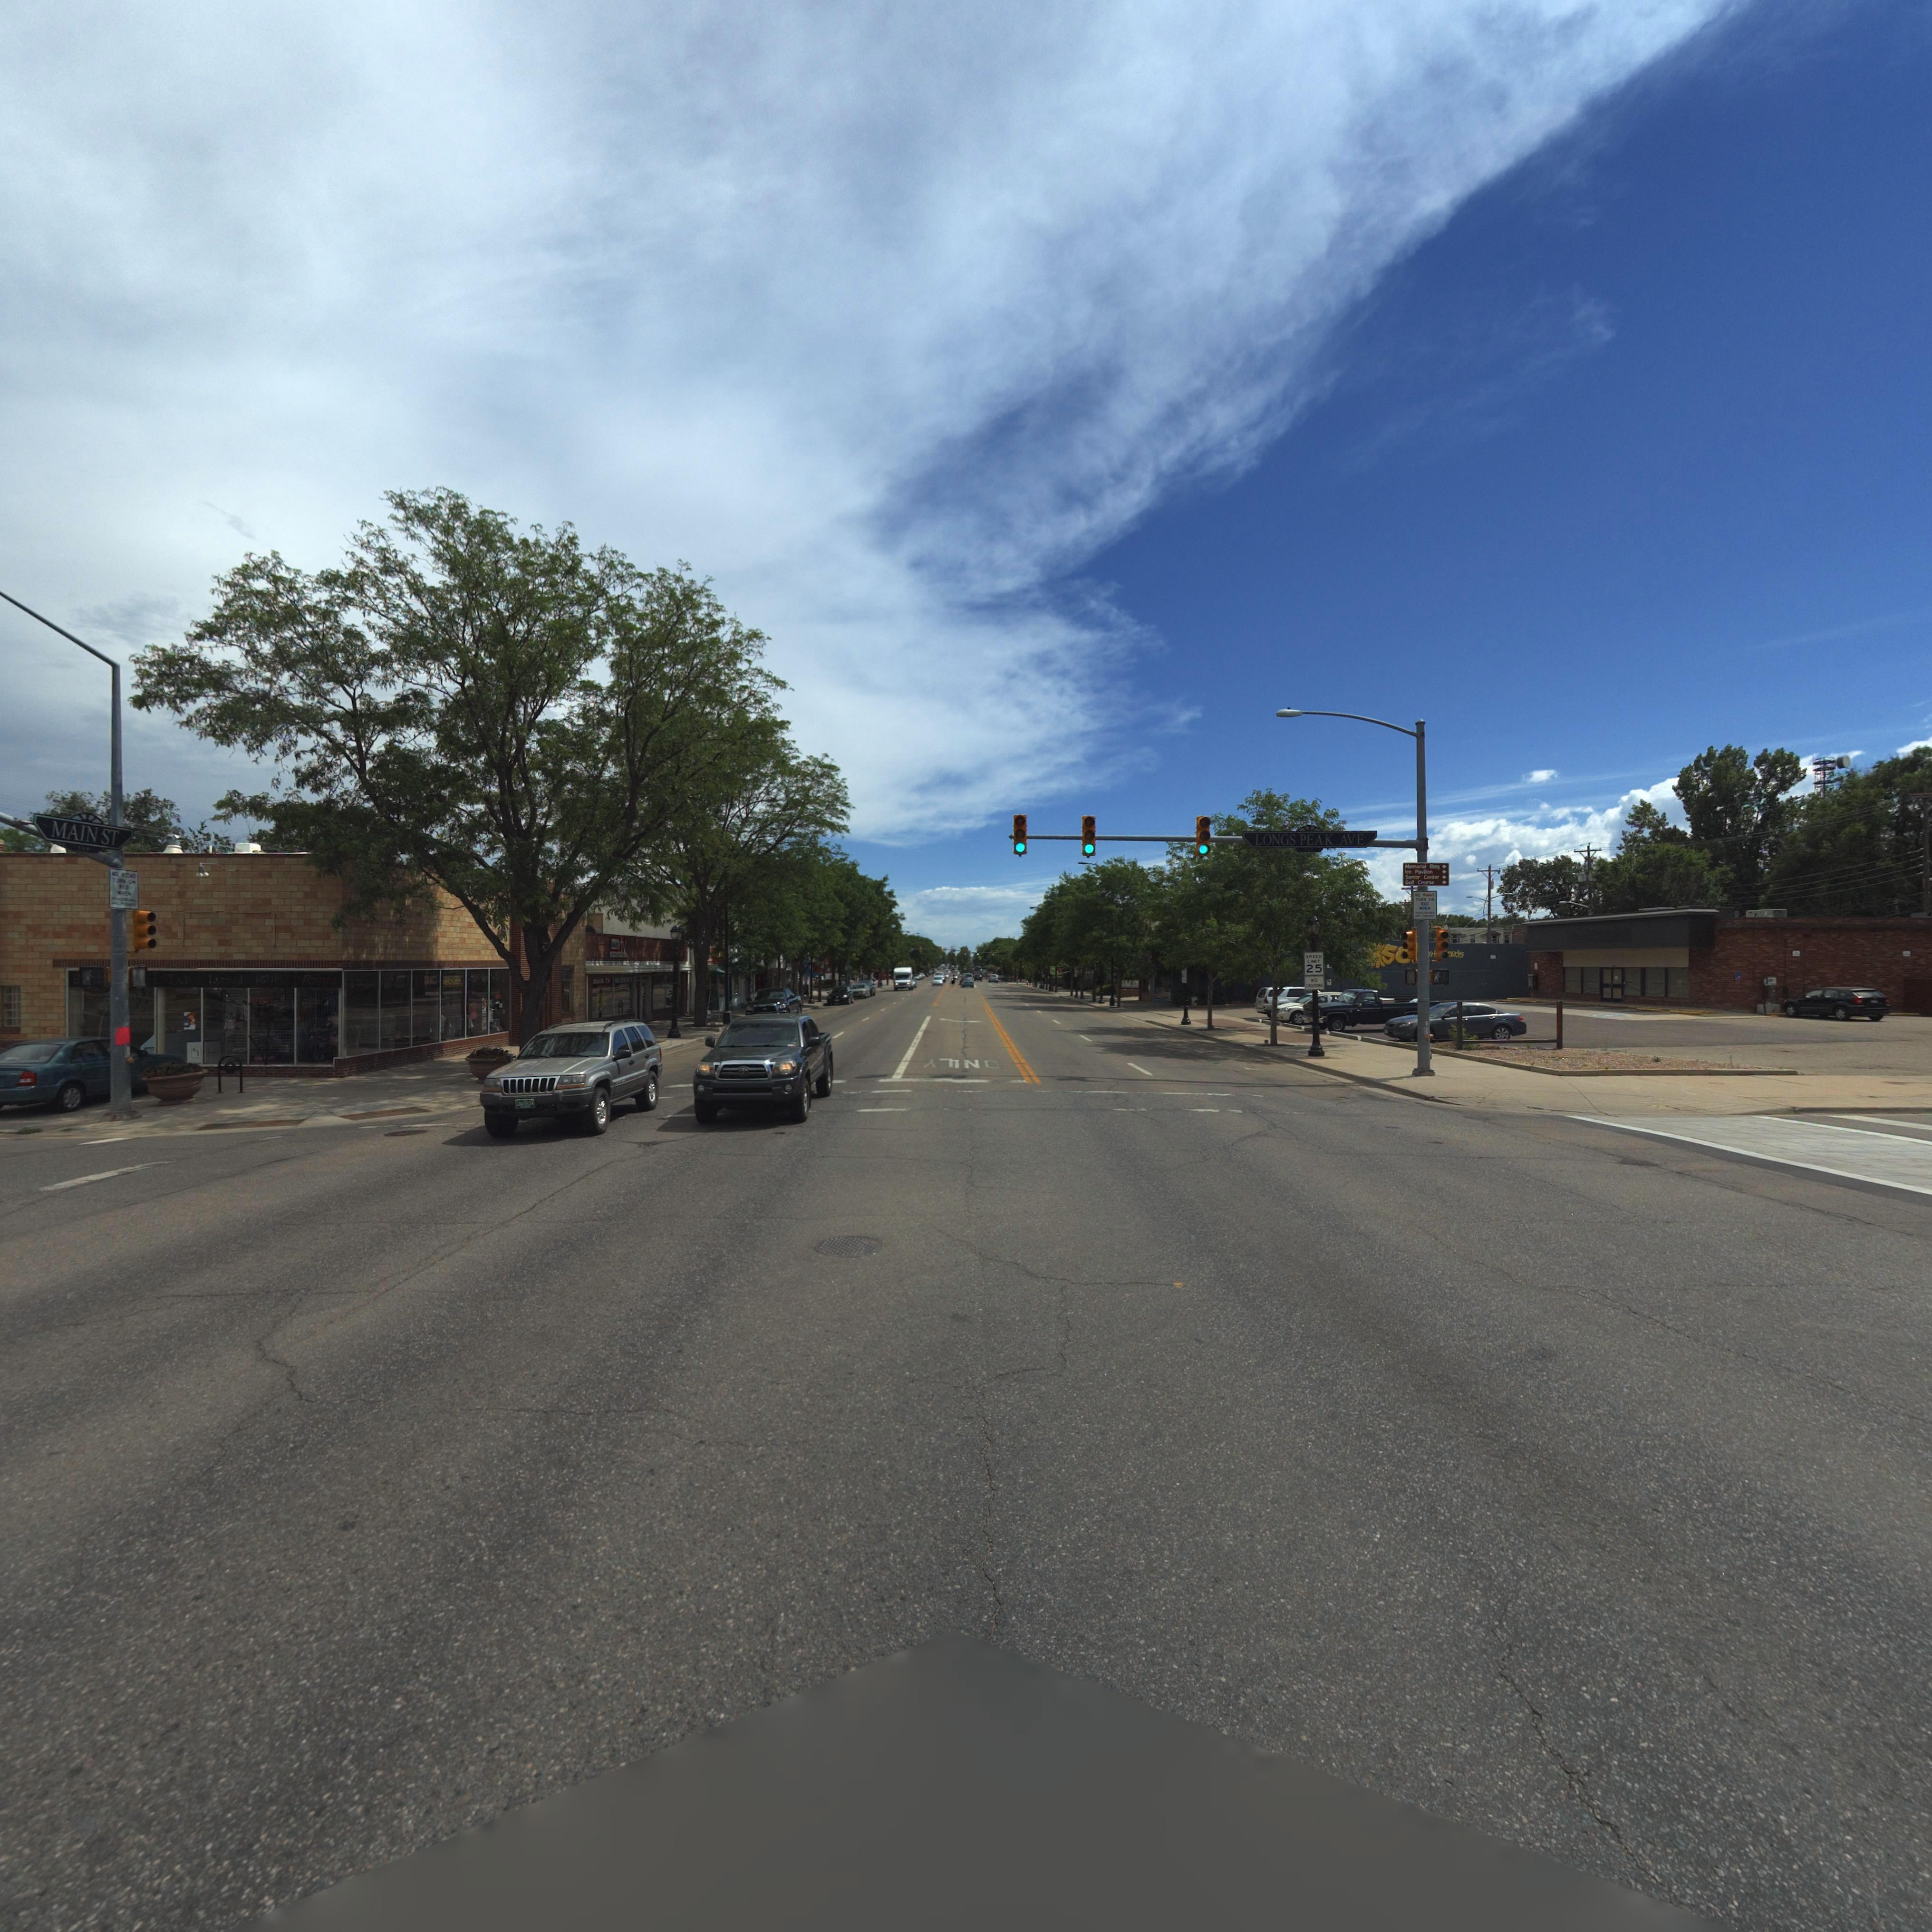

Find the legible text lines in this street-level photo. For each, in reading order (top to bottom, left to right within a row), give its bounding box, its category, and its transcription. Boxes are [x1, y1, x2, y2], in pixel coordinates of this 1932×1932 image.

[50, 819, 120, 847] BusinessName: MAIN ST
[1255, 833, 1364, 846] StreetName: LONGS PEAK AVE
[77, 844, 90, 851] StreetNumberRange: 500
[1304, 847, 1314, 852] StreetName: *00
[610, 939, 619, 949] BusinessName: Main
[619, 937, 627, 953] BusinessName: tv
[1379, 943, 1411, 965] BusinessName: so
[1429, 949, 1465, 958] BusinessName: at***rds
[424, 975, 462, 985] BusinessName: DANCE DIMENSIONS
[592, 977, 610, 985] BusinessName: MAIN TV